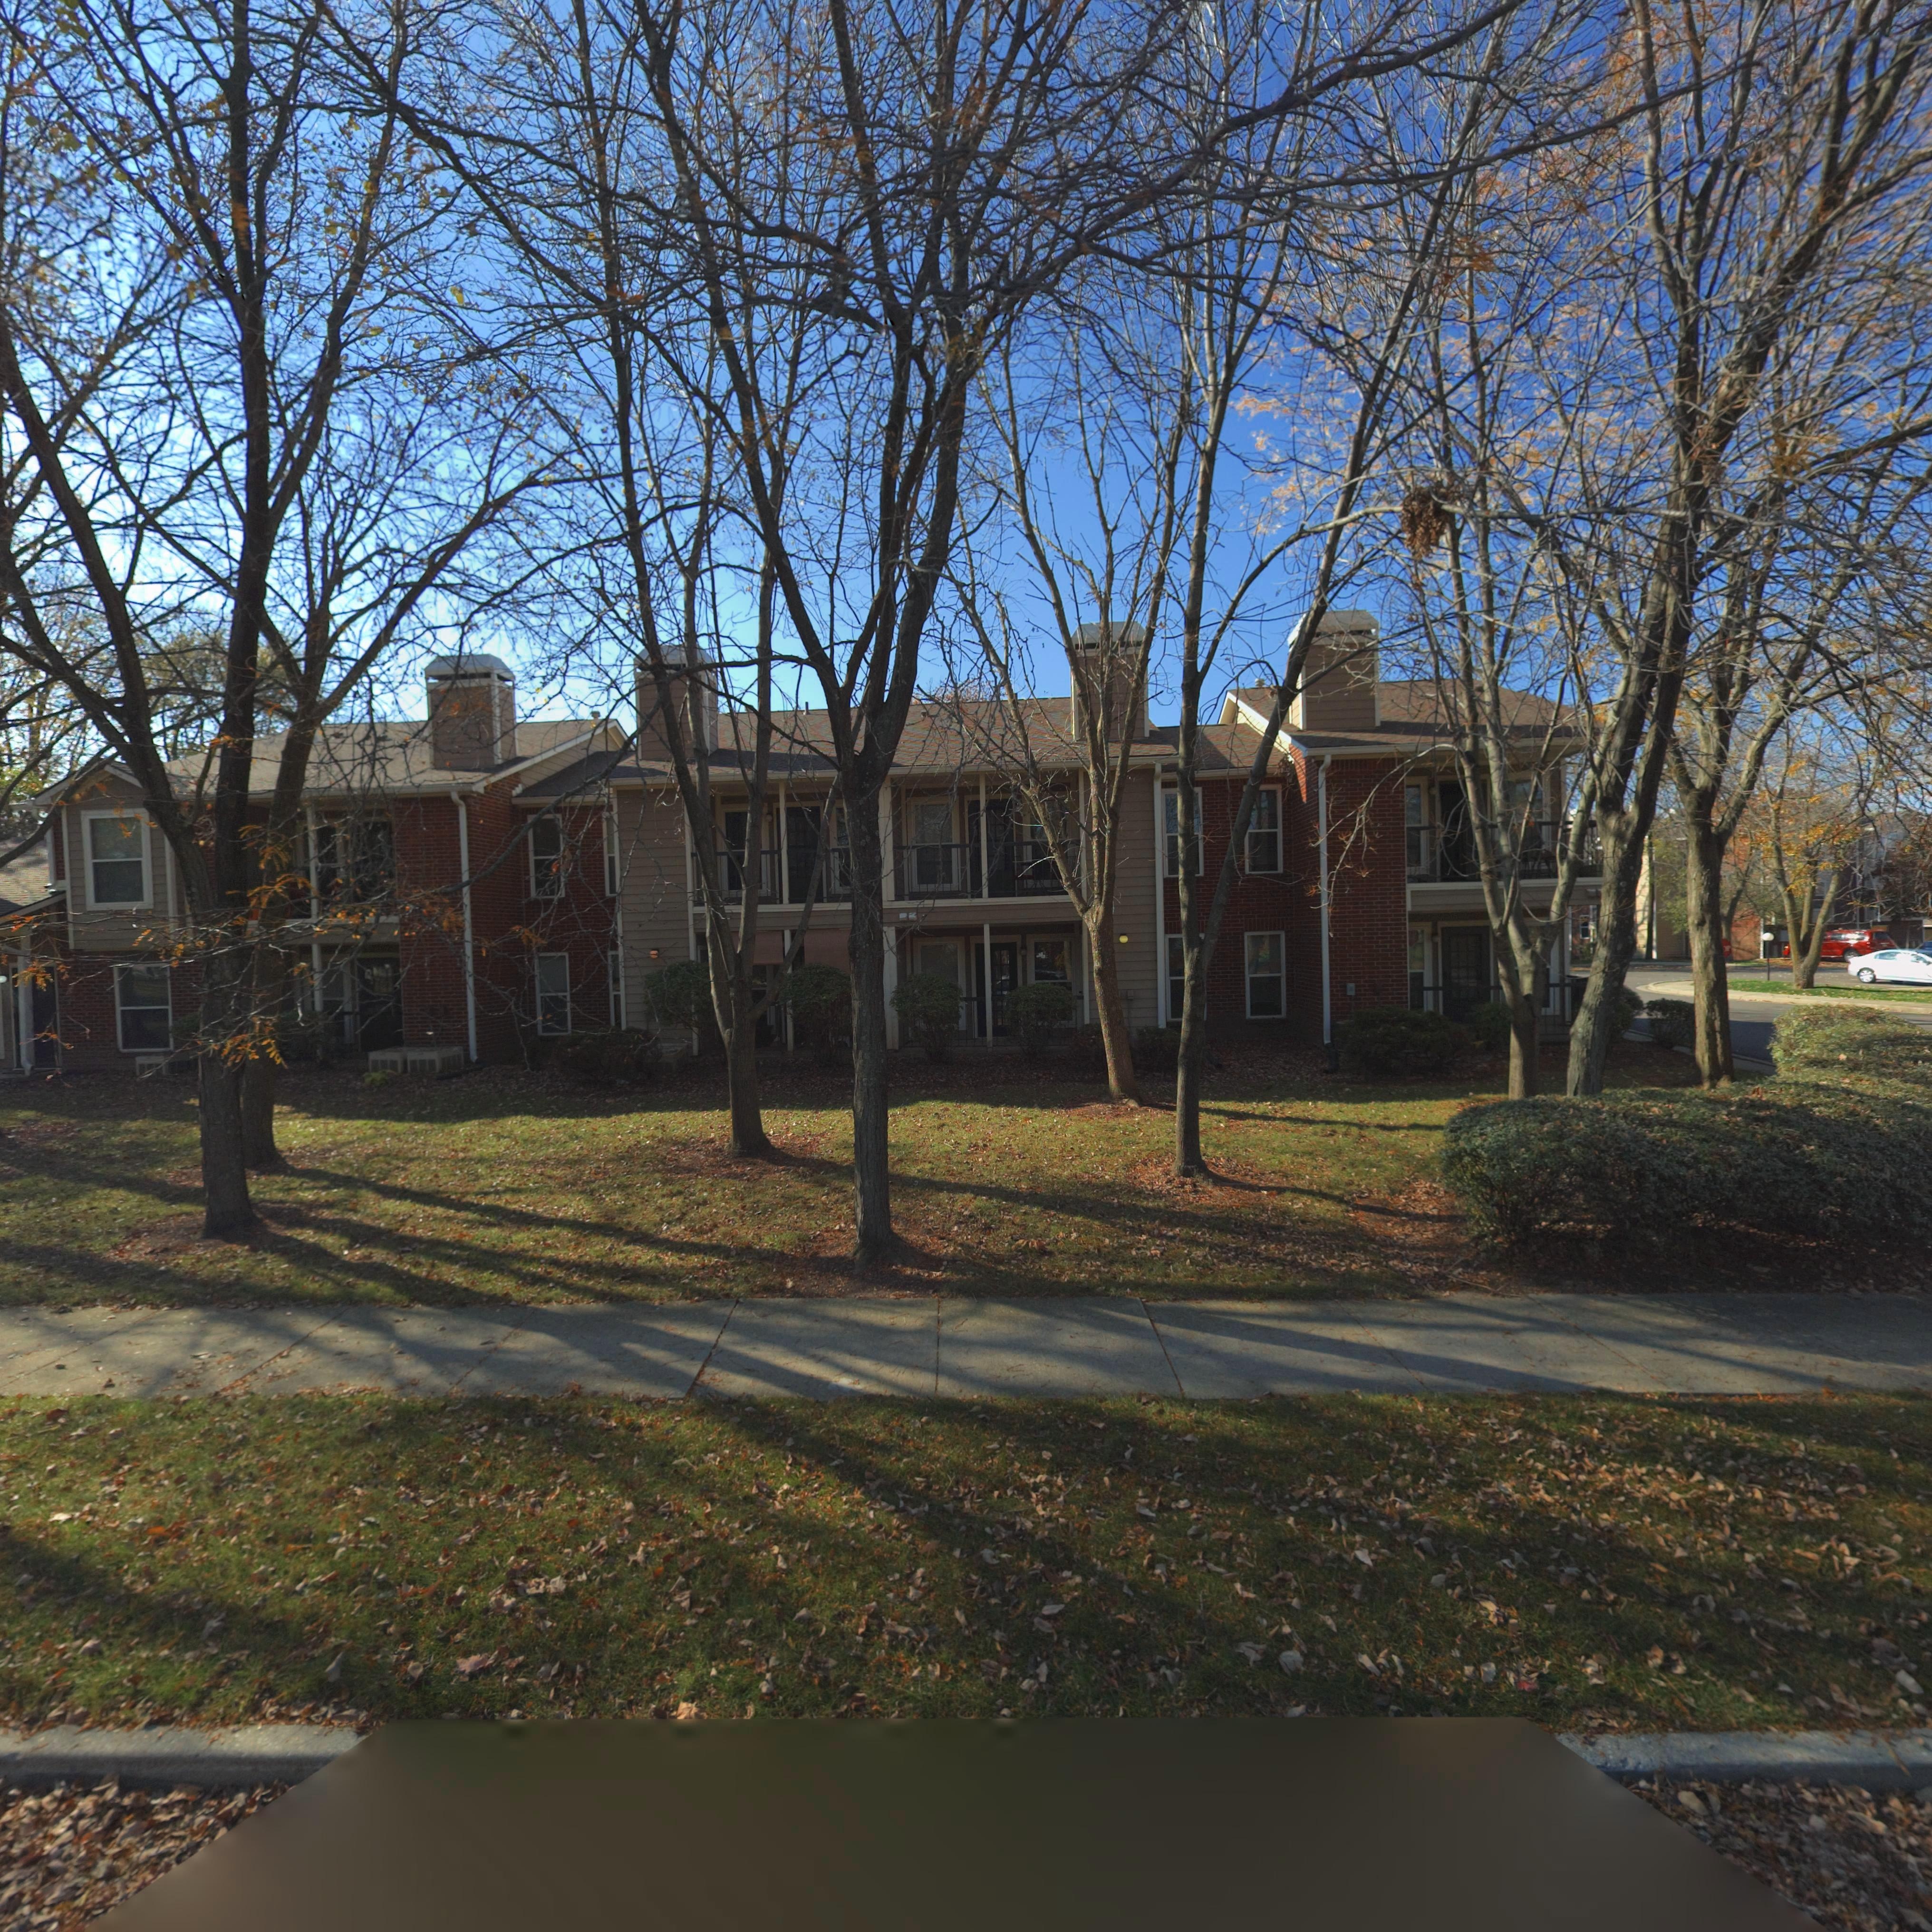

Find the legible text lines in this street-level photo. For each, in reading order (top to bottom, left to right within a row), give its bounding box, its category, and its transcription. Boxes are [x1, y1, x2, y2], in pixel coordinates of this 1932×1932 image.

[1722, 946, 1731, 952] None: *P